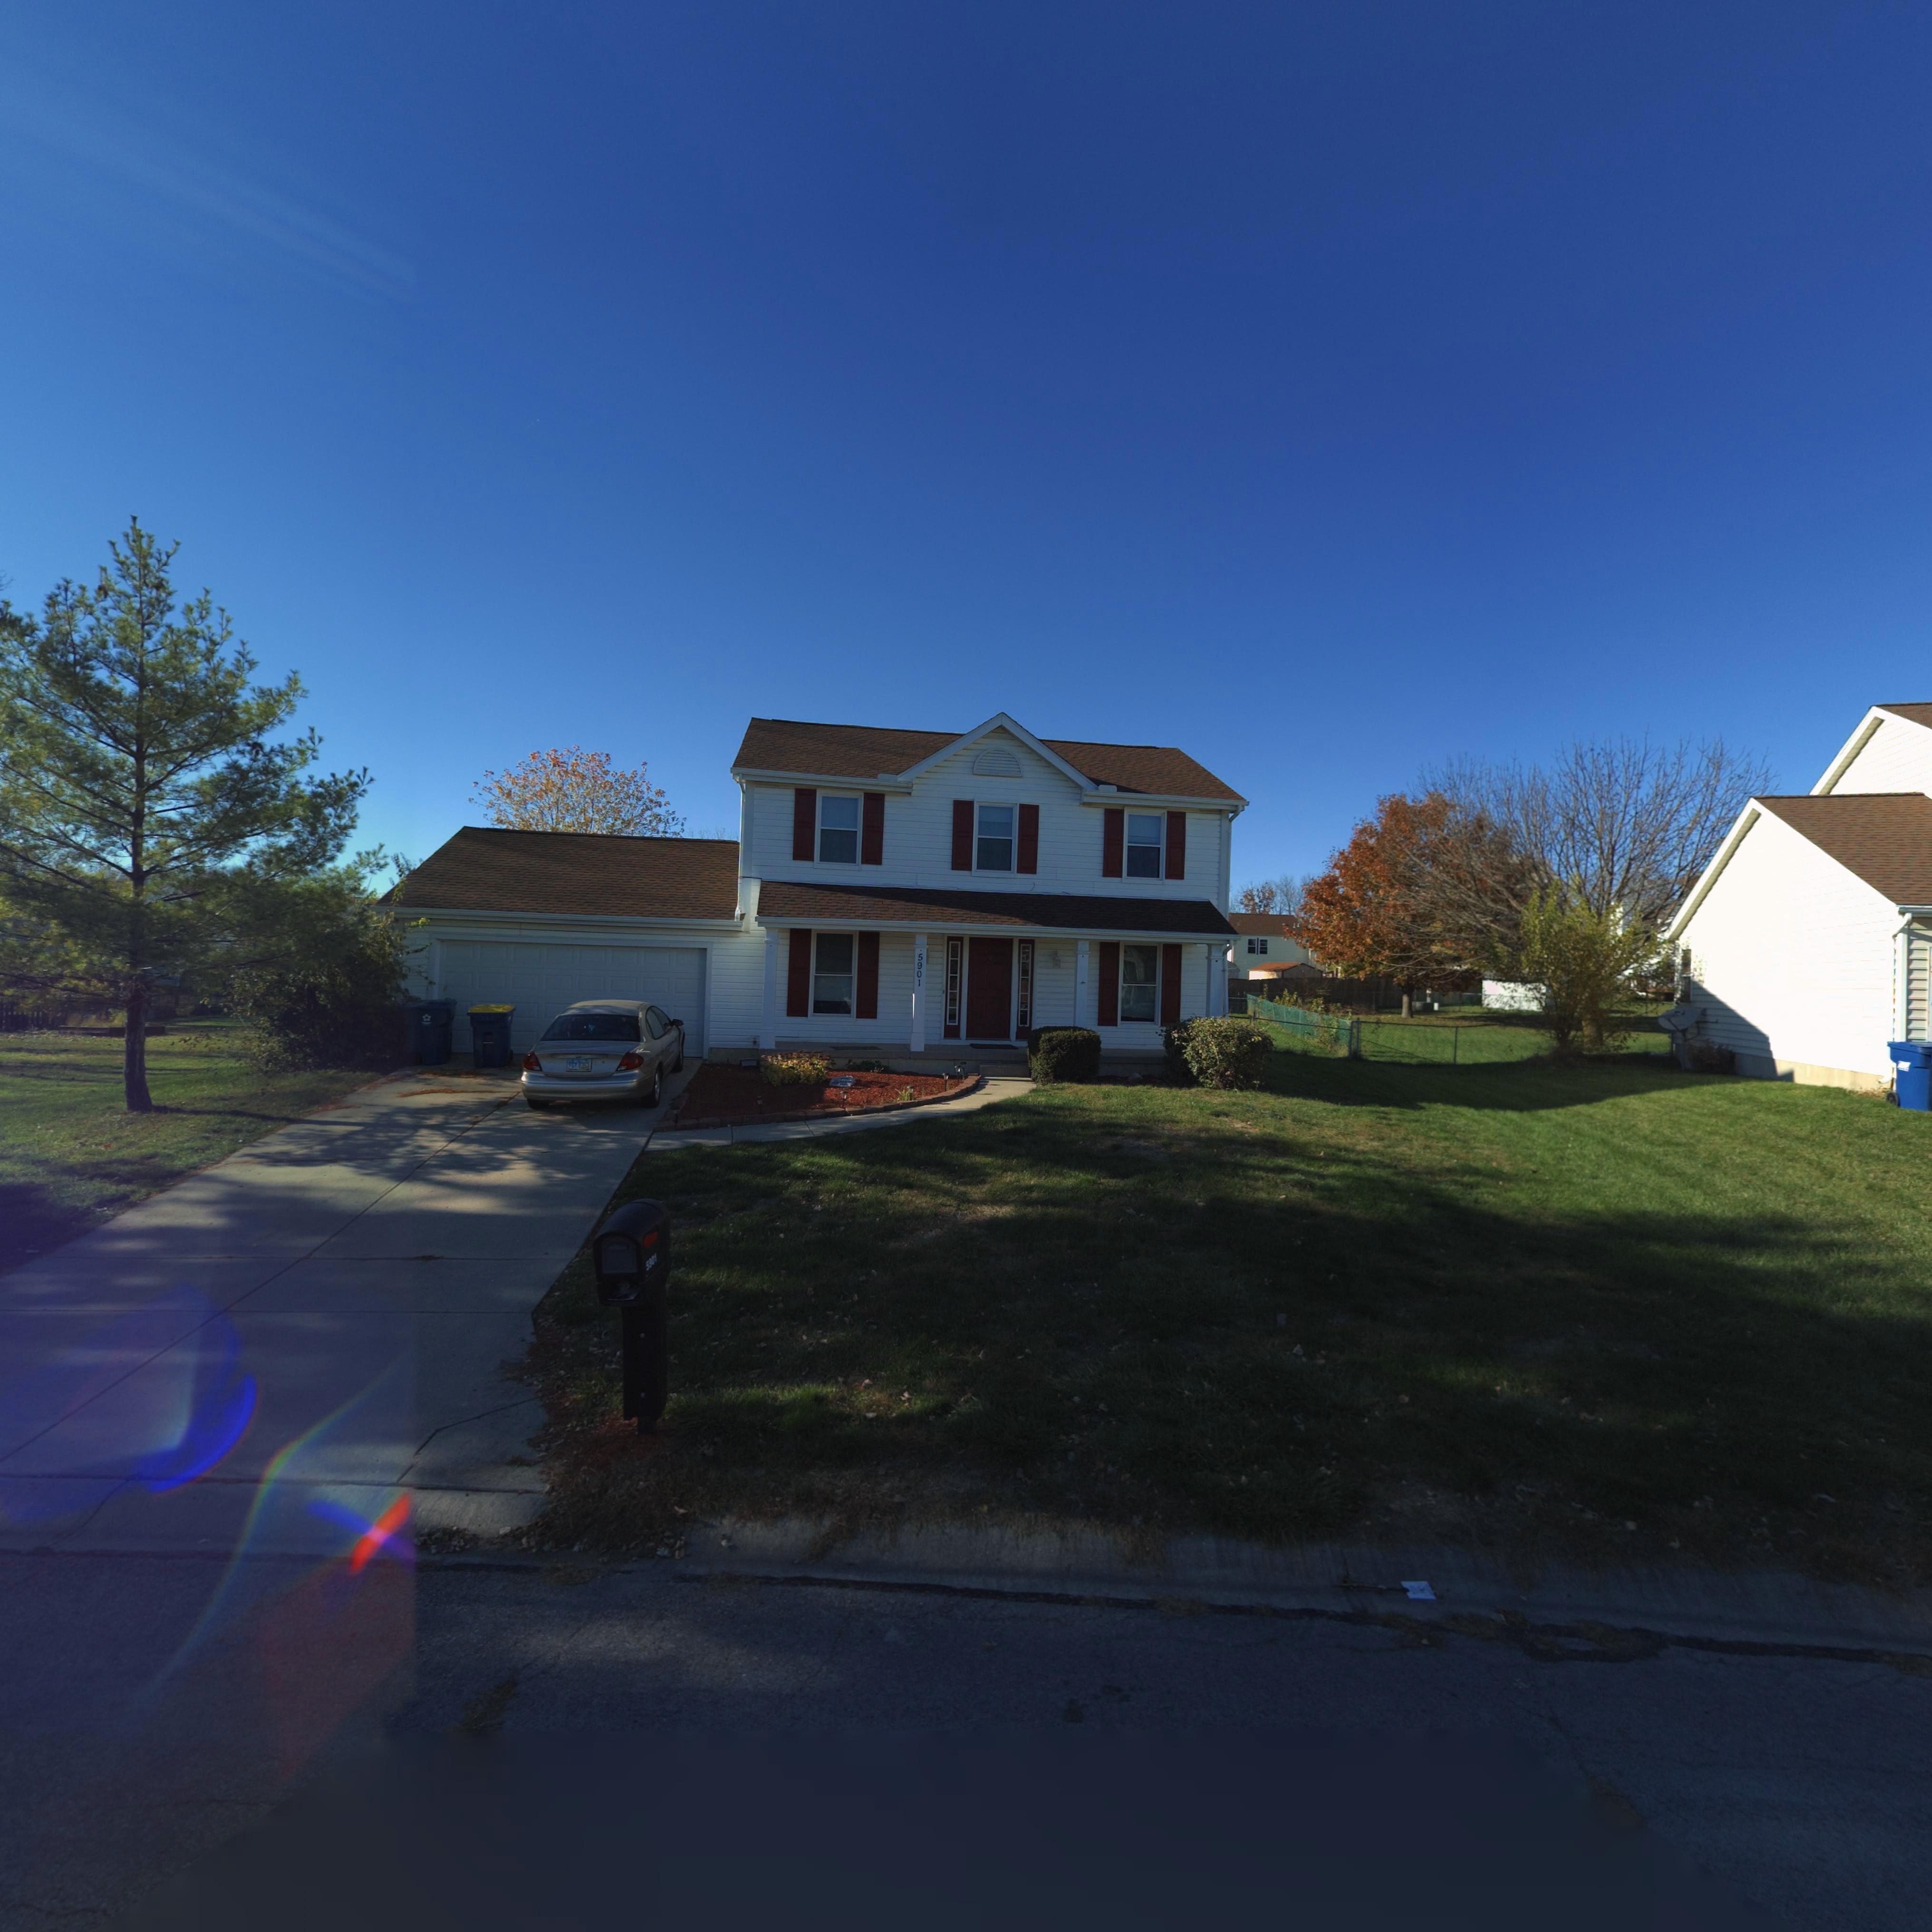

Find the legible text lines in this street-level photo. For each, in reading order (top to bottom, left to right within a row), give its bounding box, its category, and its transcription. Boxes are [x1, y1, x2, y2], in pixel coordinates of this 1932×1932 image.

[916, 952, 924, 987] StreetNumber: 5901
[645, 1251, 658, 1273] StreetNumber: 5901